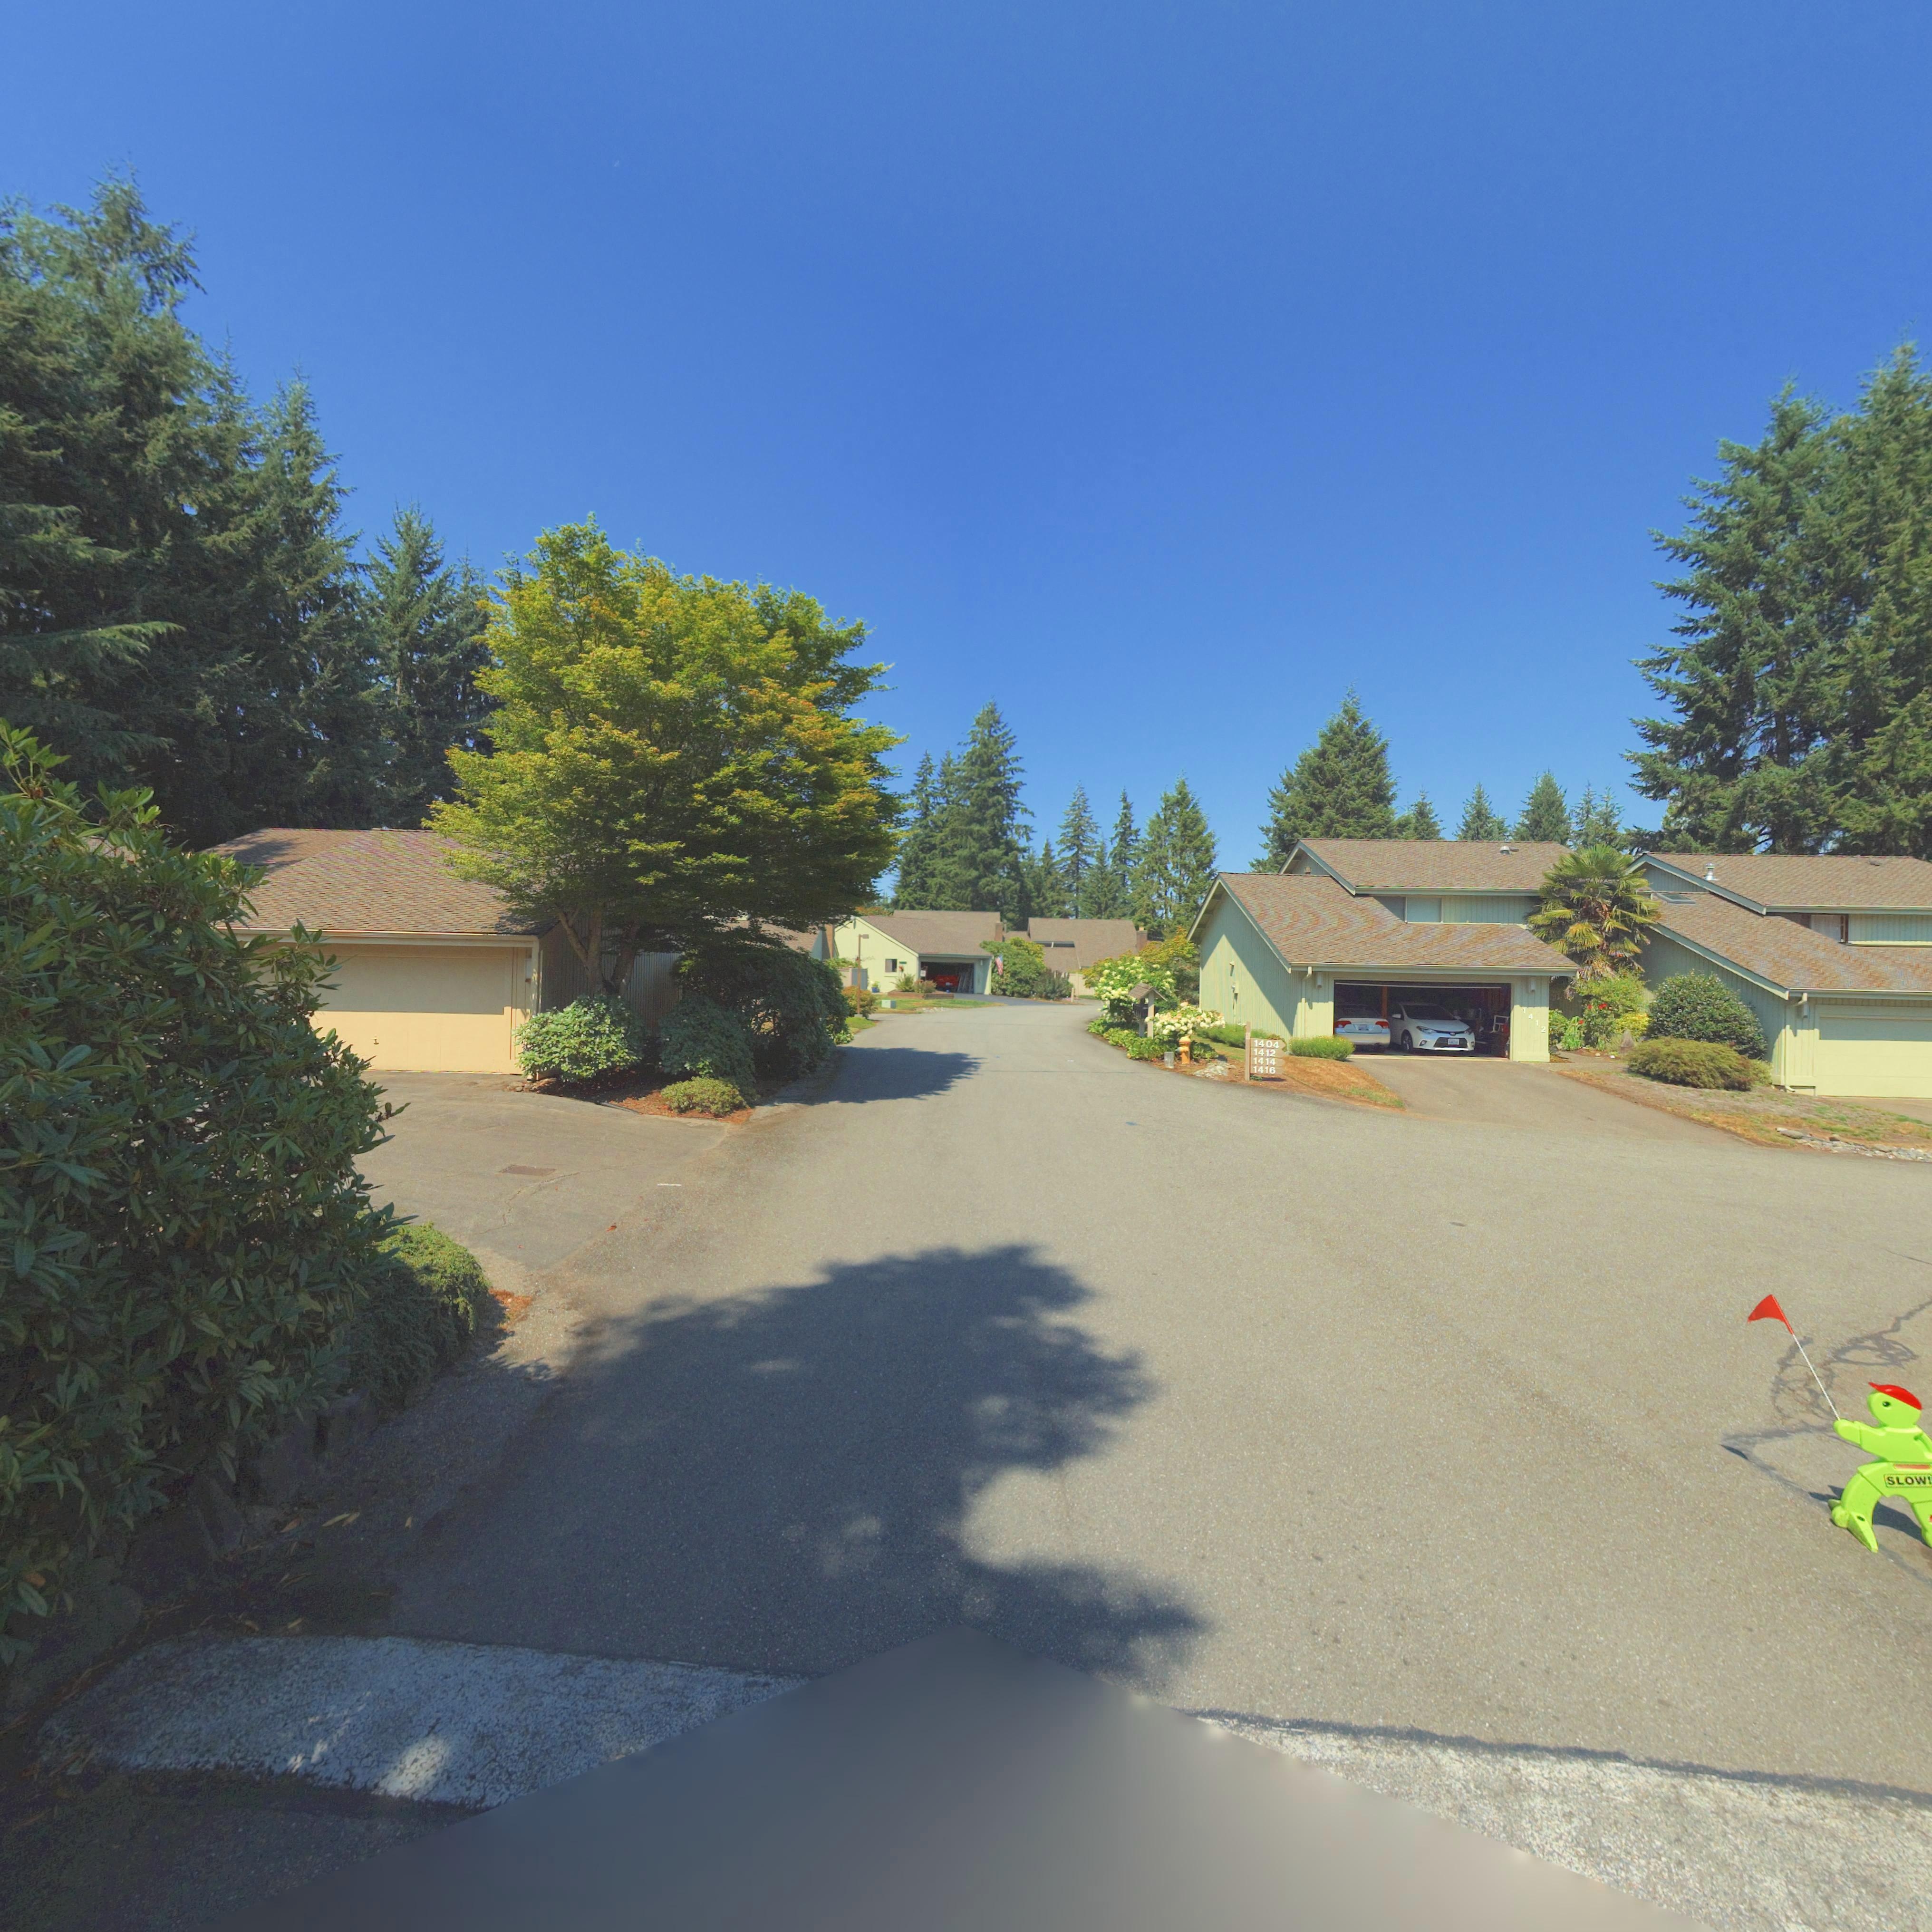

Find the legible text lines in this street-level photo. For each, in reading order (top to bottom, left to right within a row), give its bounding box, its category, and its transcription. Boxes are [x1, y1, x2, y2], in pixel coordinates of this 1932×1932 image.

[1523, 1008, 1546, 1033] StreetNumber: 1412
[1254, 1039, 1280, 1048] StreetNumber: 1404
[1253, 1048, 1275, 1057] StreetNumber: 1412
[1253, 1057, 1275, 1065] StreetNumber: 1414
[1253, 1066, 1275, 1074] StreetNumber: 1416